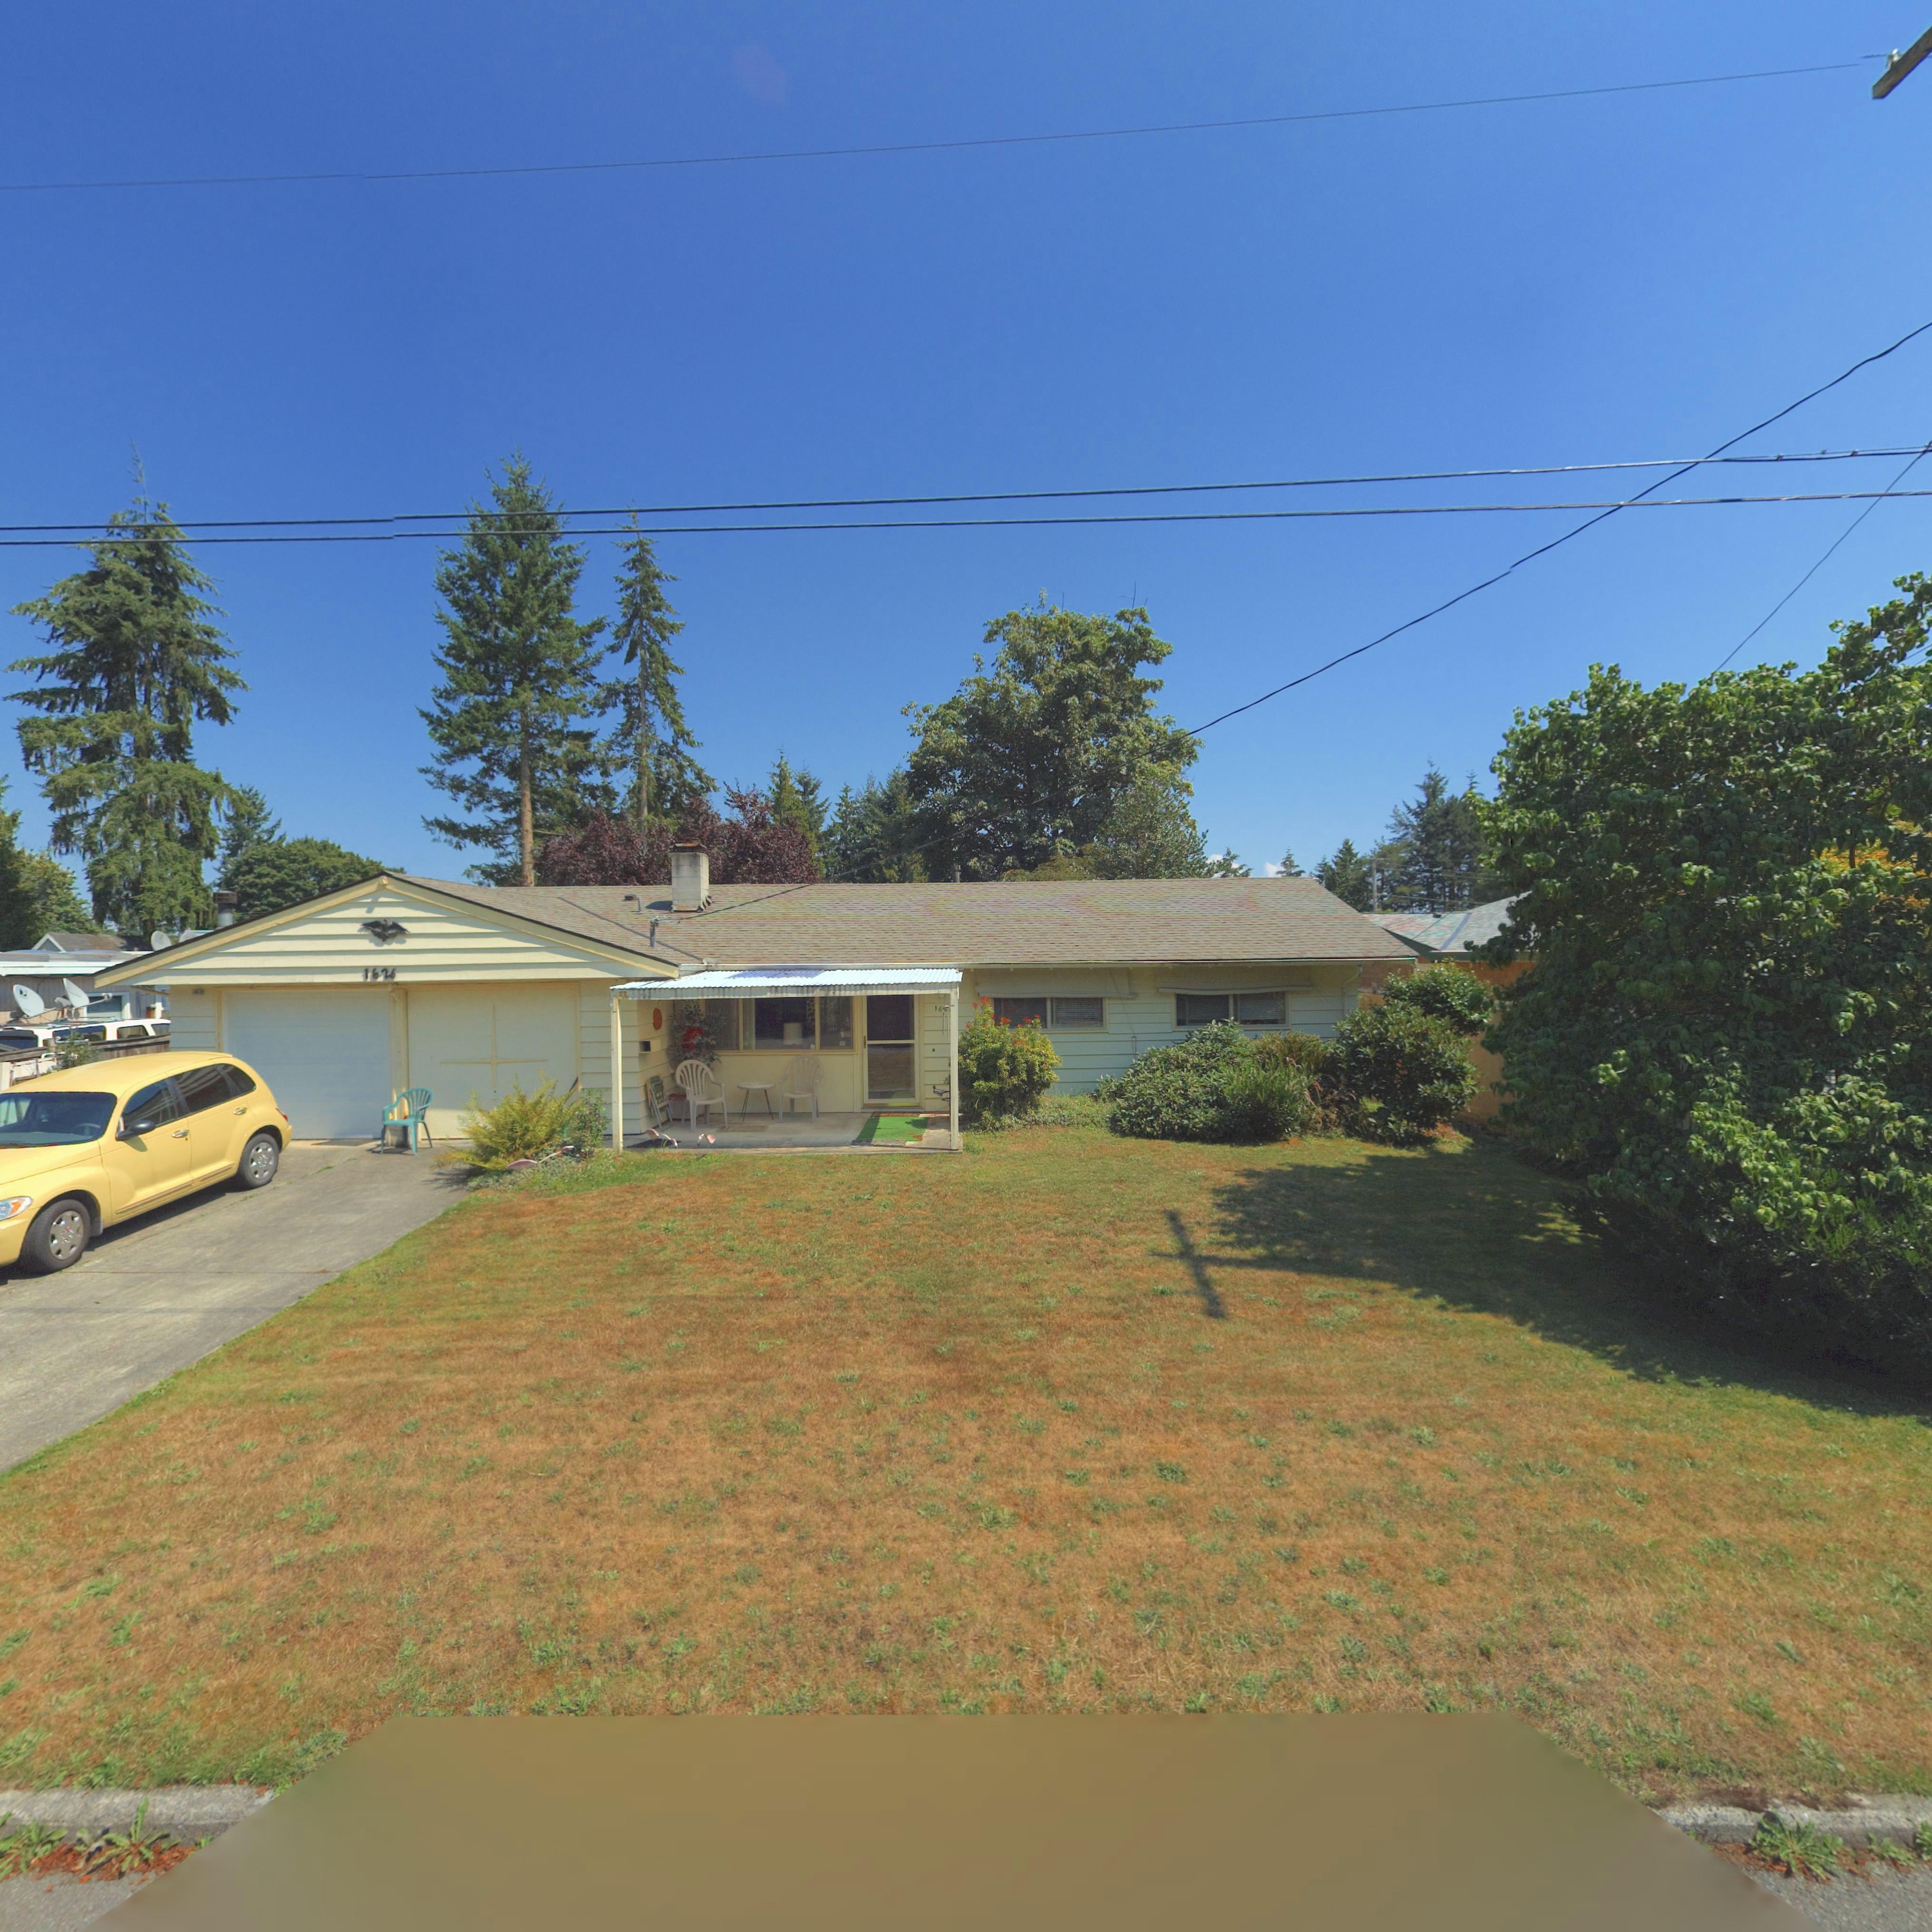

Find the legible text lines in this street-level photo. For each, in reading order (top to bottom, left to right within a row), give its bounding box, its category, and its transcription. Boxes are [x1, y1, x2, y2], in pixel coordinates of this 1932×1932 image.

[364, 967, 396, 980] StreetNumber: 1626